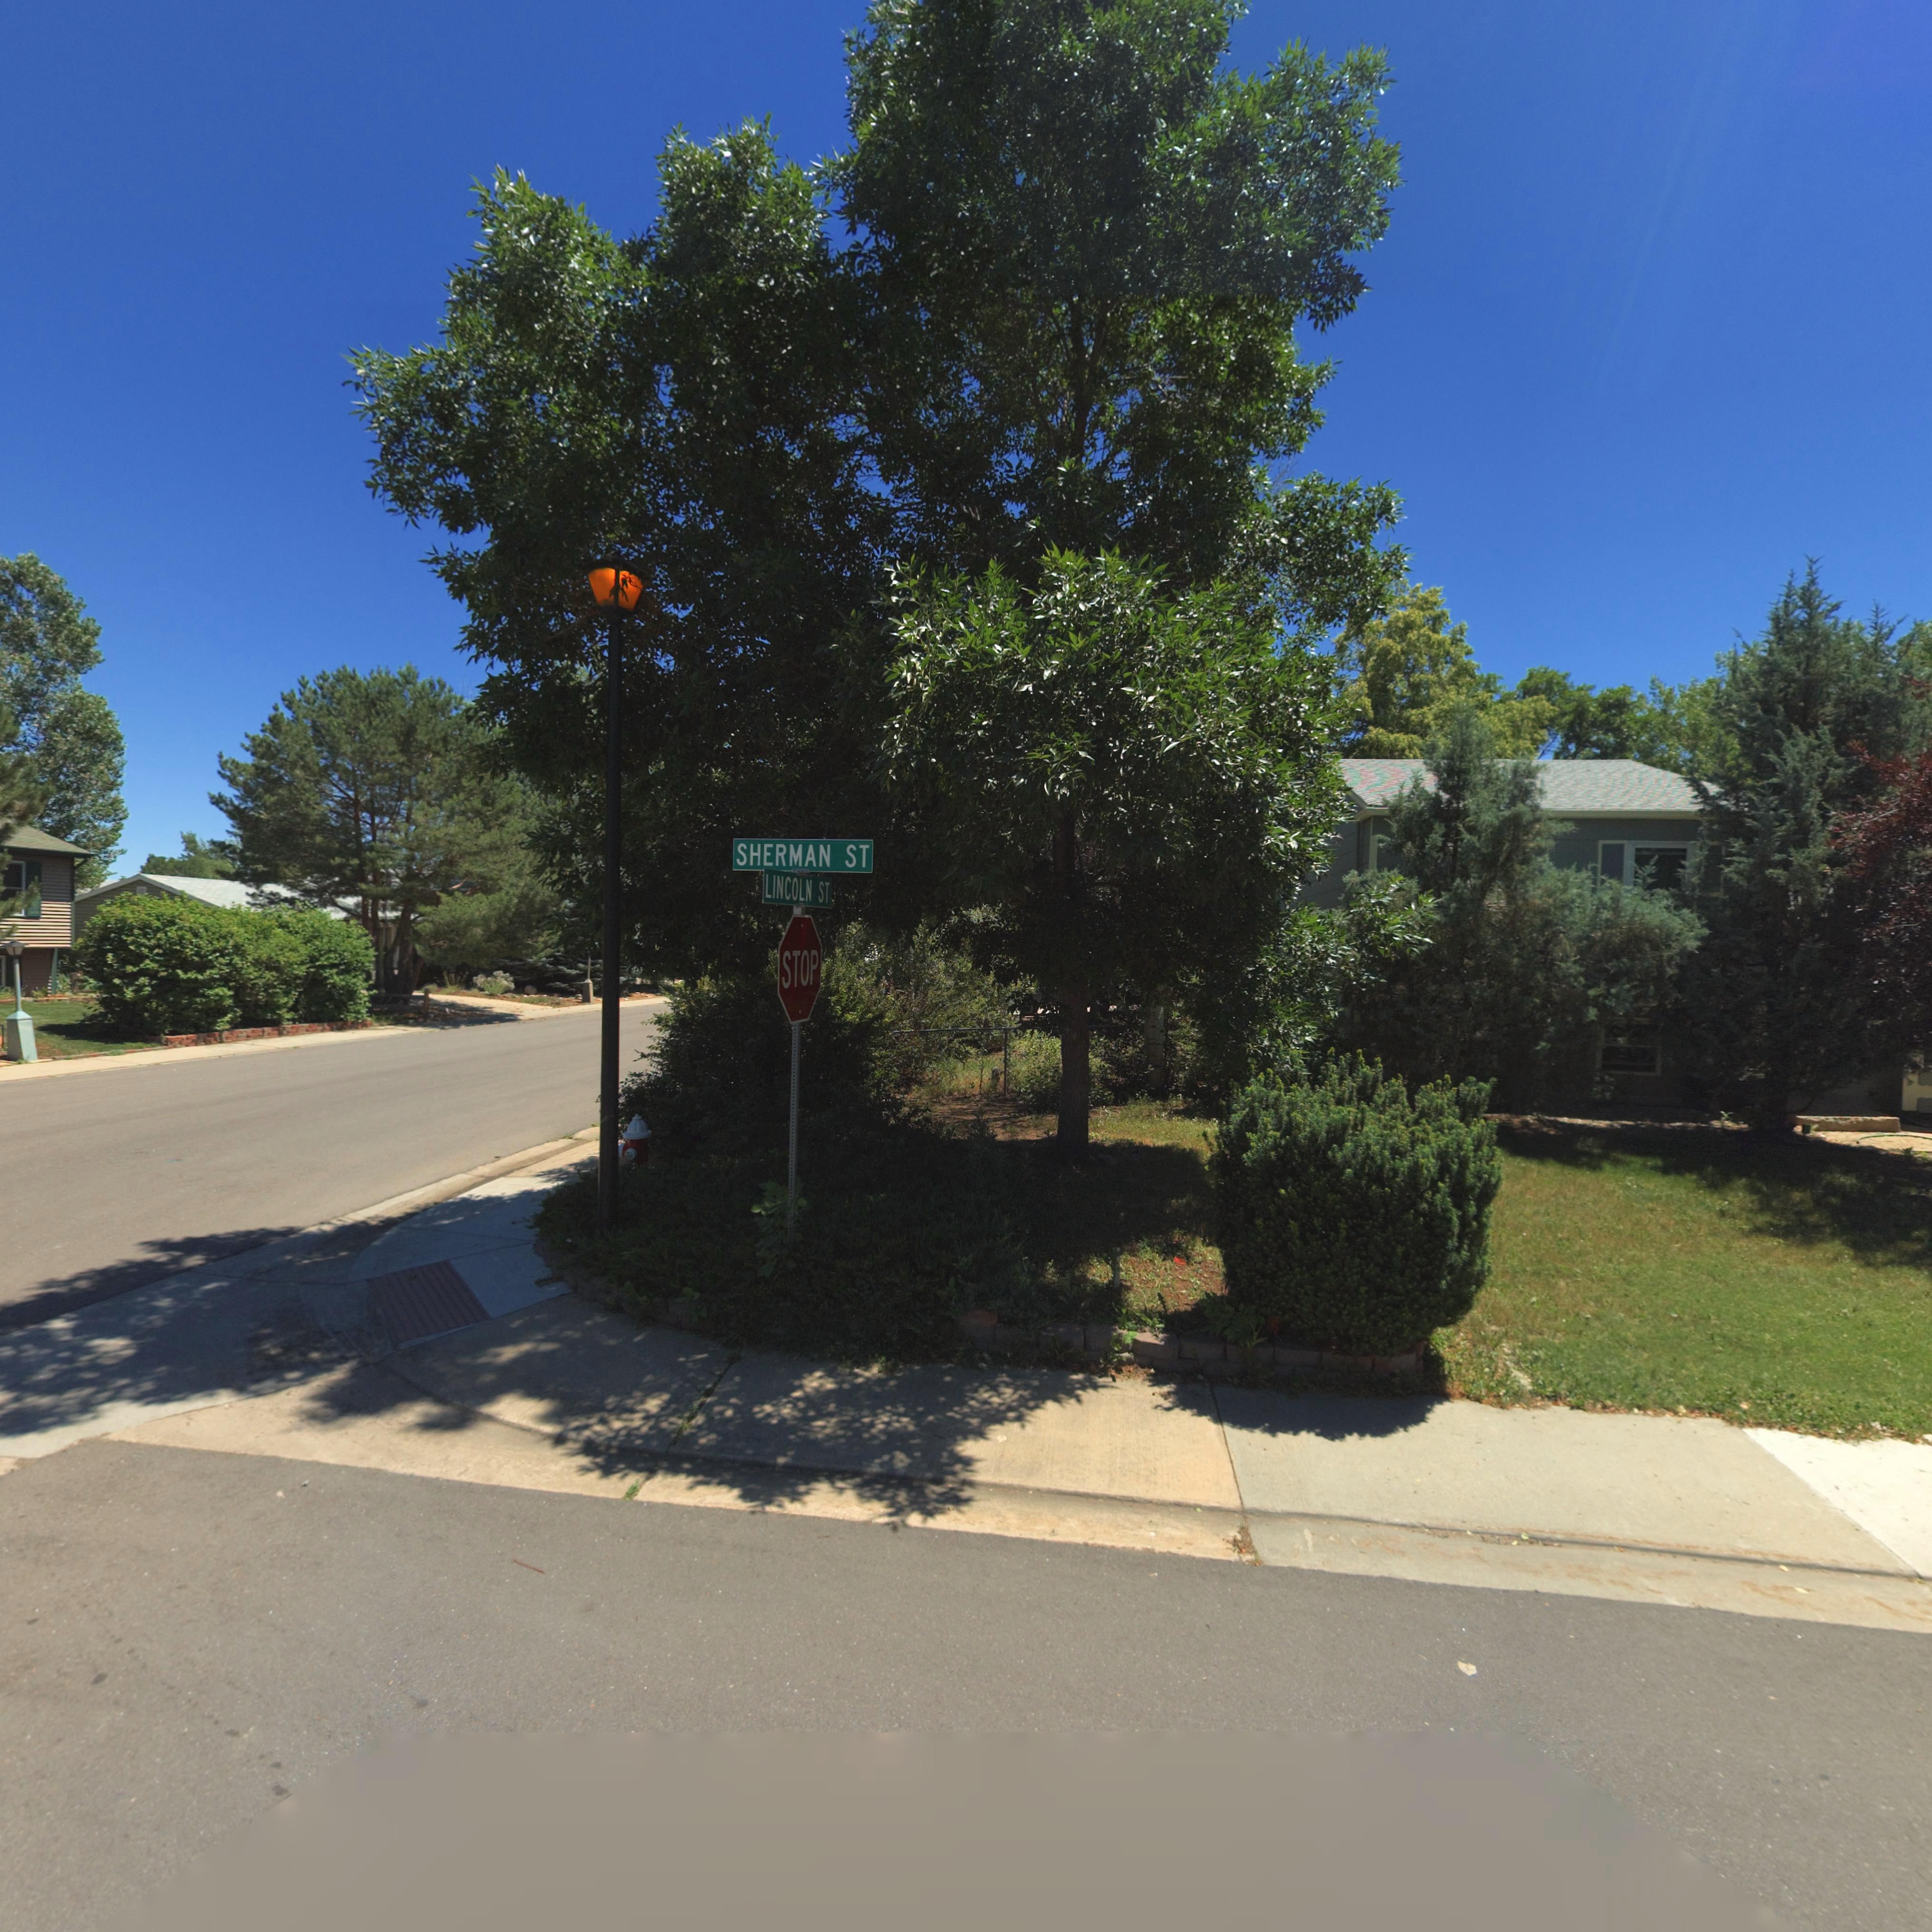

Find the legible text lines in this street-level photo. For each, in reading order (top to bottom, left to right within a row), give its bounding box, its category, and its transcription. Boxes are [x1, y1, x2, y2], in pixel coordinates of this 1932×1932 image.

[735, 842, 870, 868] StreetName: SHERMAN ST
[765, 874, 830, 903] StreetName: LINCOLN ST